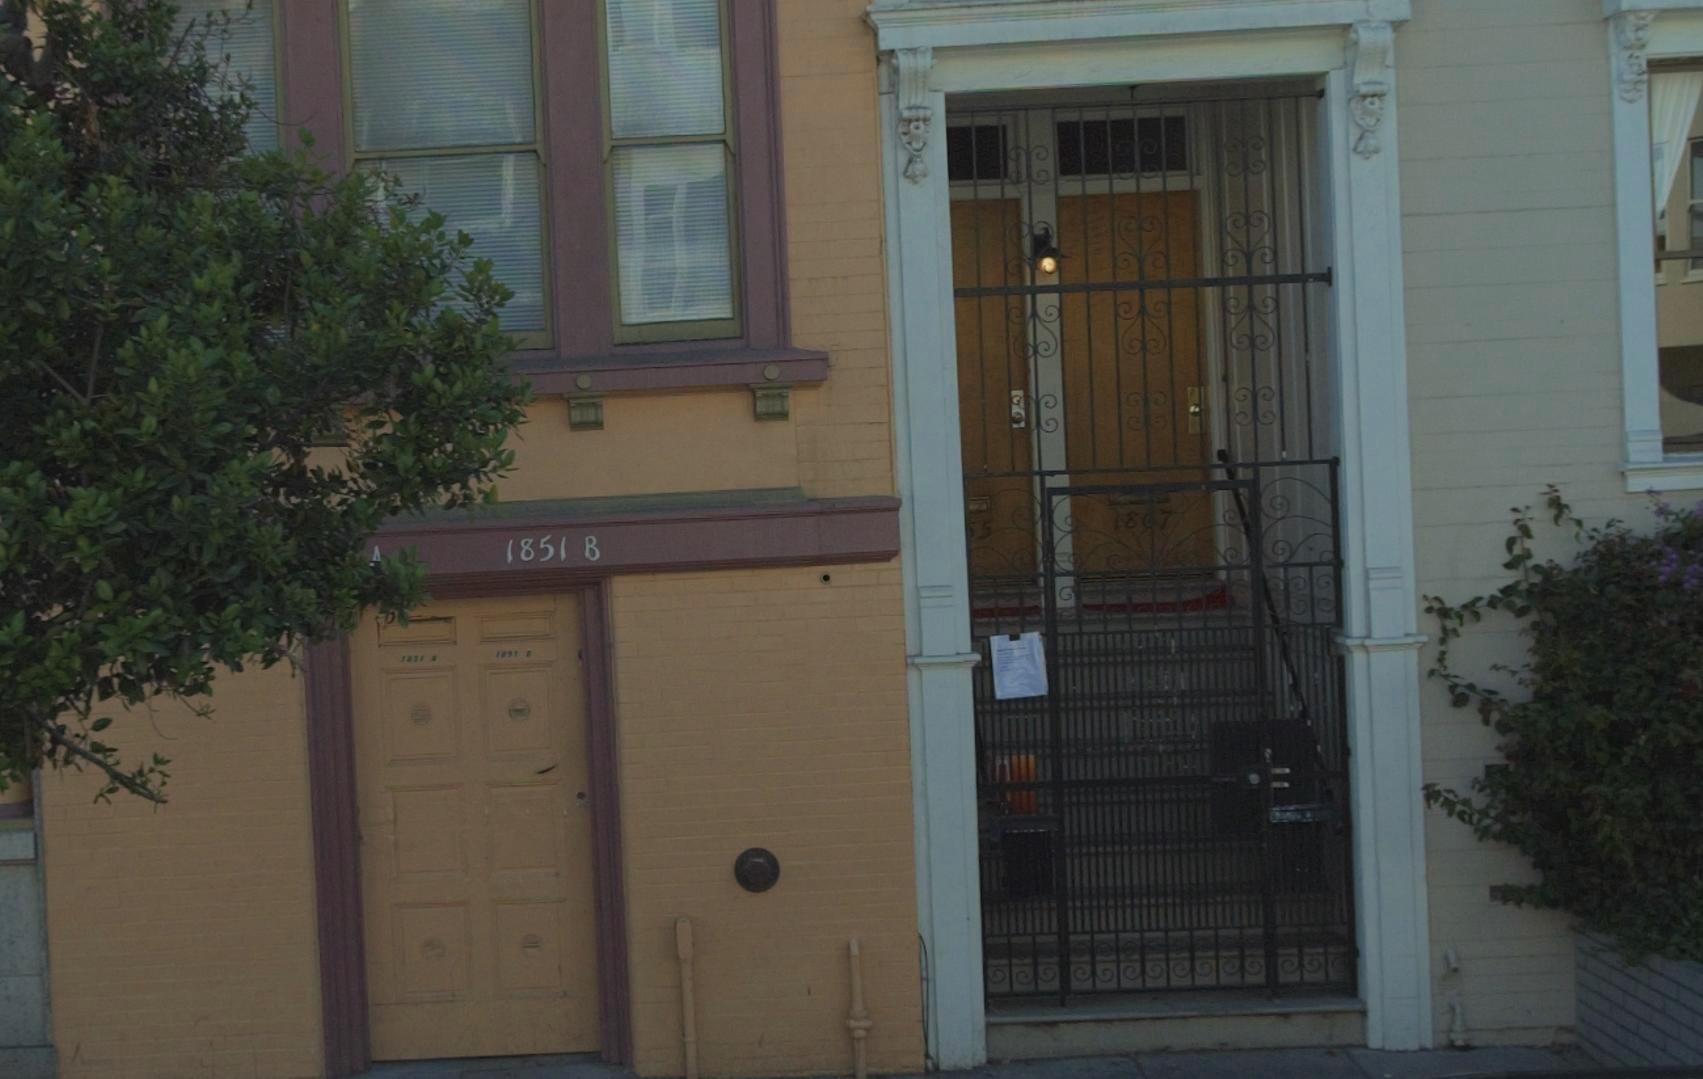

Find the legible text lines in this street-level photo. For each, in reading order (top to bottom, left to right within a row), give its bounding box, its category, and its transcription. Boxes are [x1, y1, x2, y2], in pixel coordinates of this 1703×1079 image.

[979, 518, 995, 540] StreetNumber: 5
[1111, 508, 1177, 532] StreetNumber: 1867
[503, 532, 603, 566] StreetNumber: 1851B